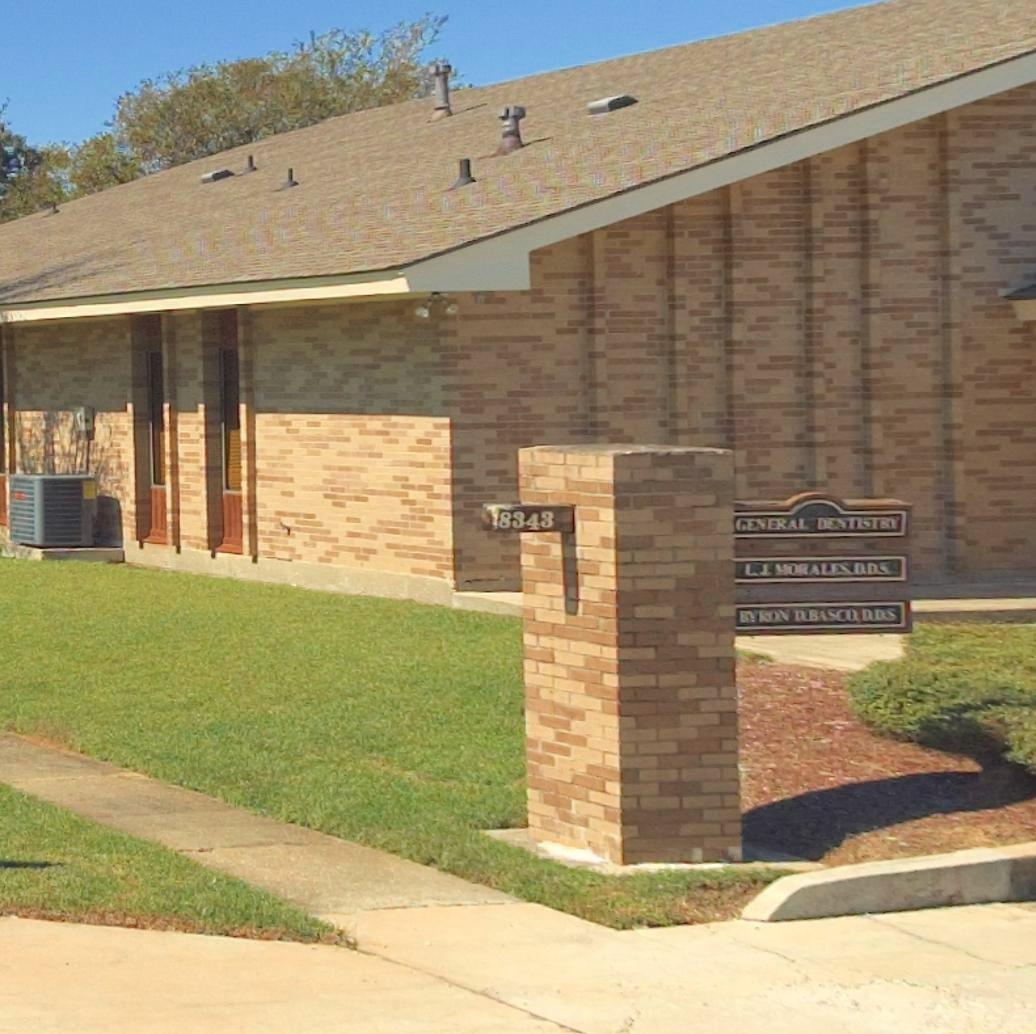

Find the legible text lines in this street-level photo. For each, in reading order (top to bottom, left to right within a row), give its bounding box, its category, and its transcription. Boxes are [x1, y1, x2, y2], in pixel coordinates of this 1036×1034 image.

[497, 509, 559, 533] StreetNumber: 8343
[733, 514, 904, 535] None: GENERAL DENTISTRY
[743, 560, 893, 578] None: LJ MORALES DDS
[738, 605, 900, 627] None: BYRON Y*BASCO DDS